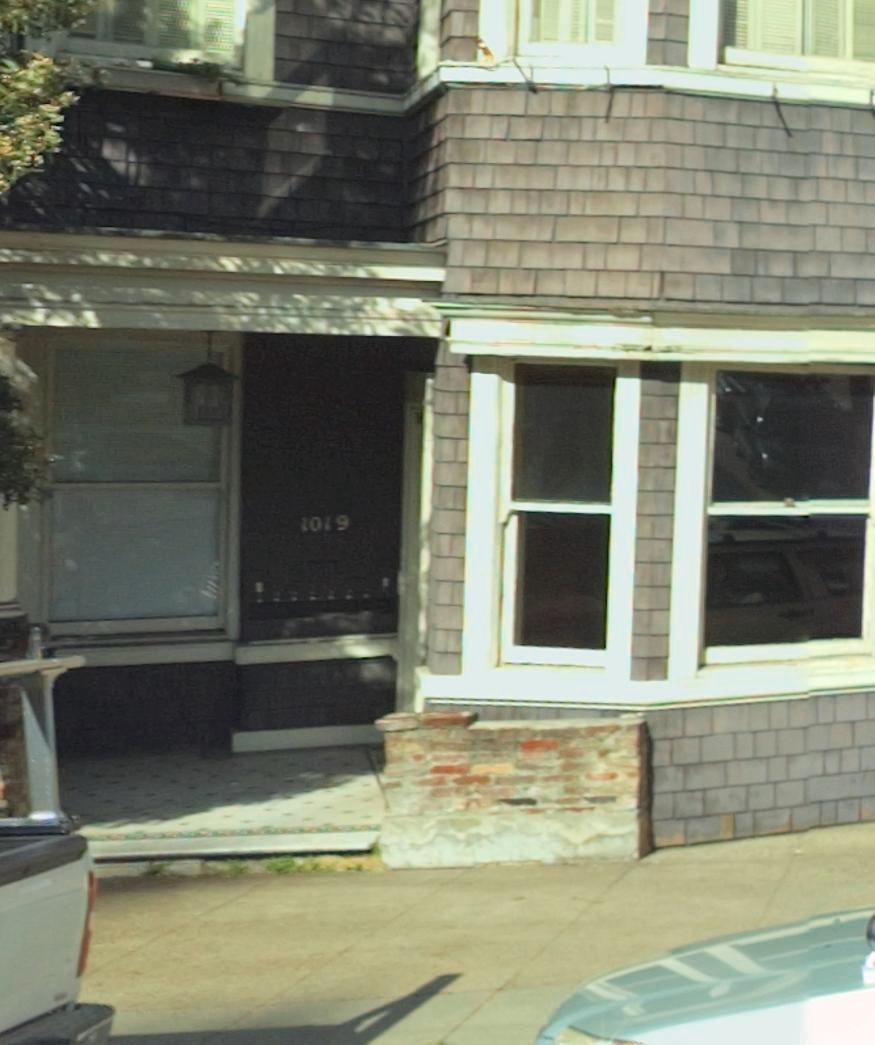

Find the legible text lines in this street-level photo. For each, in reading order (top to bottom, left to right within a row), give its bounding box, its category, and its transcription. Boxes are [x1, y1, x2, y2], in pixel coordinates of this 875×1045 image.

[298, 513, 351, 533] StreetNumber: 1019